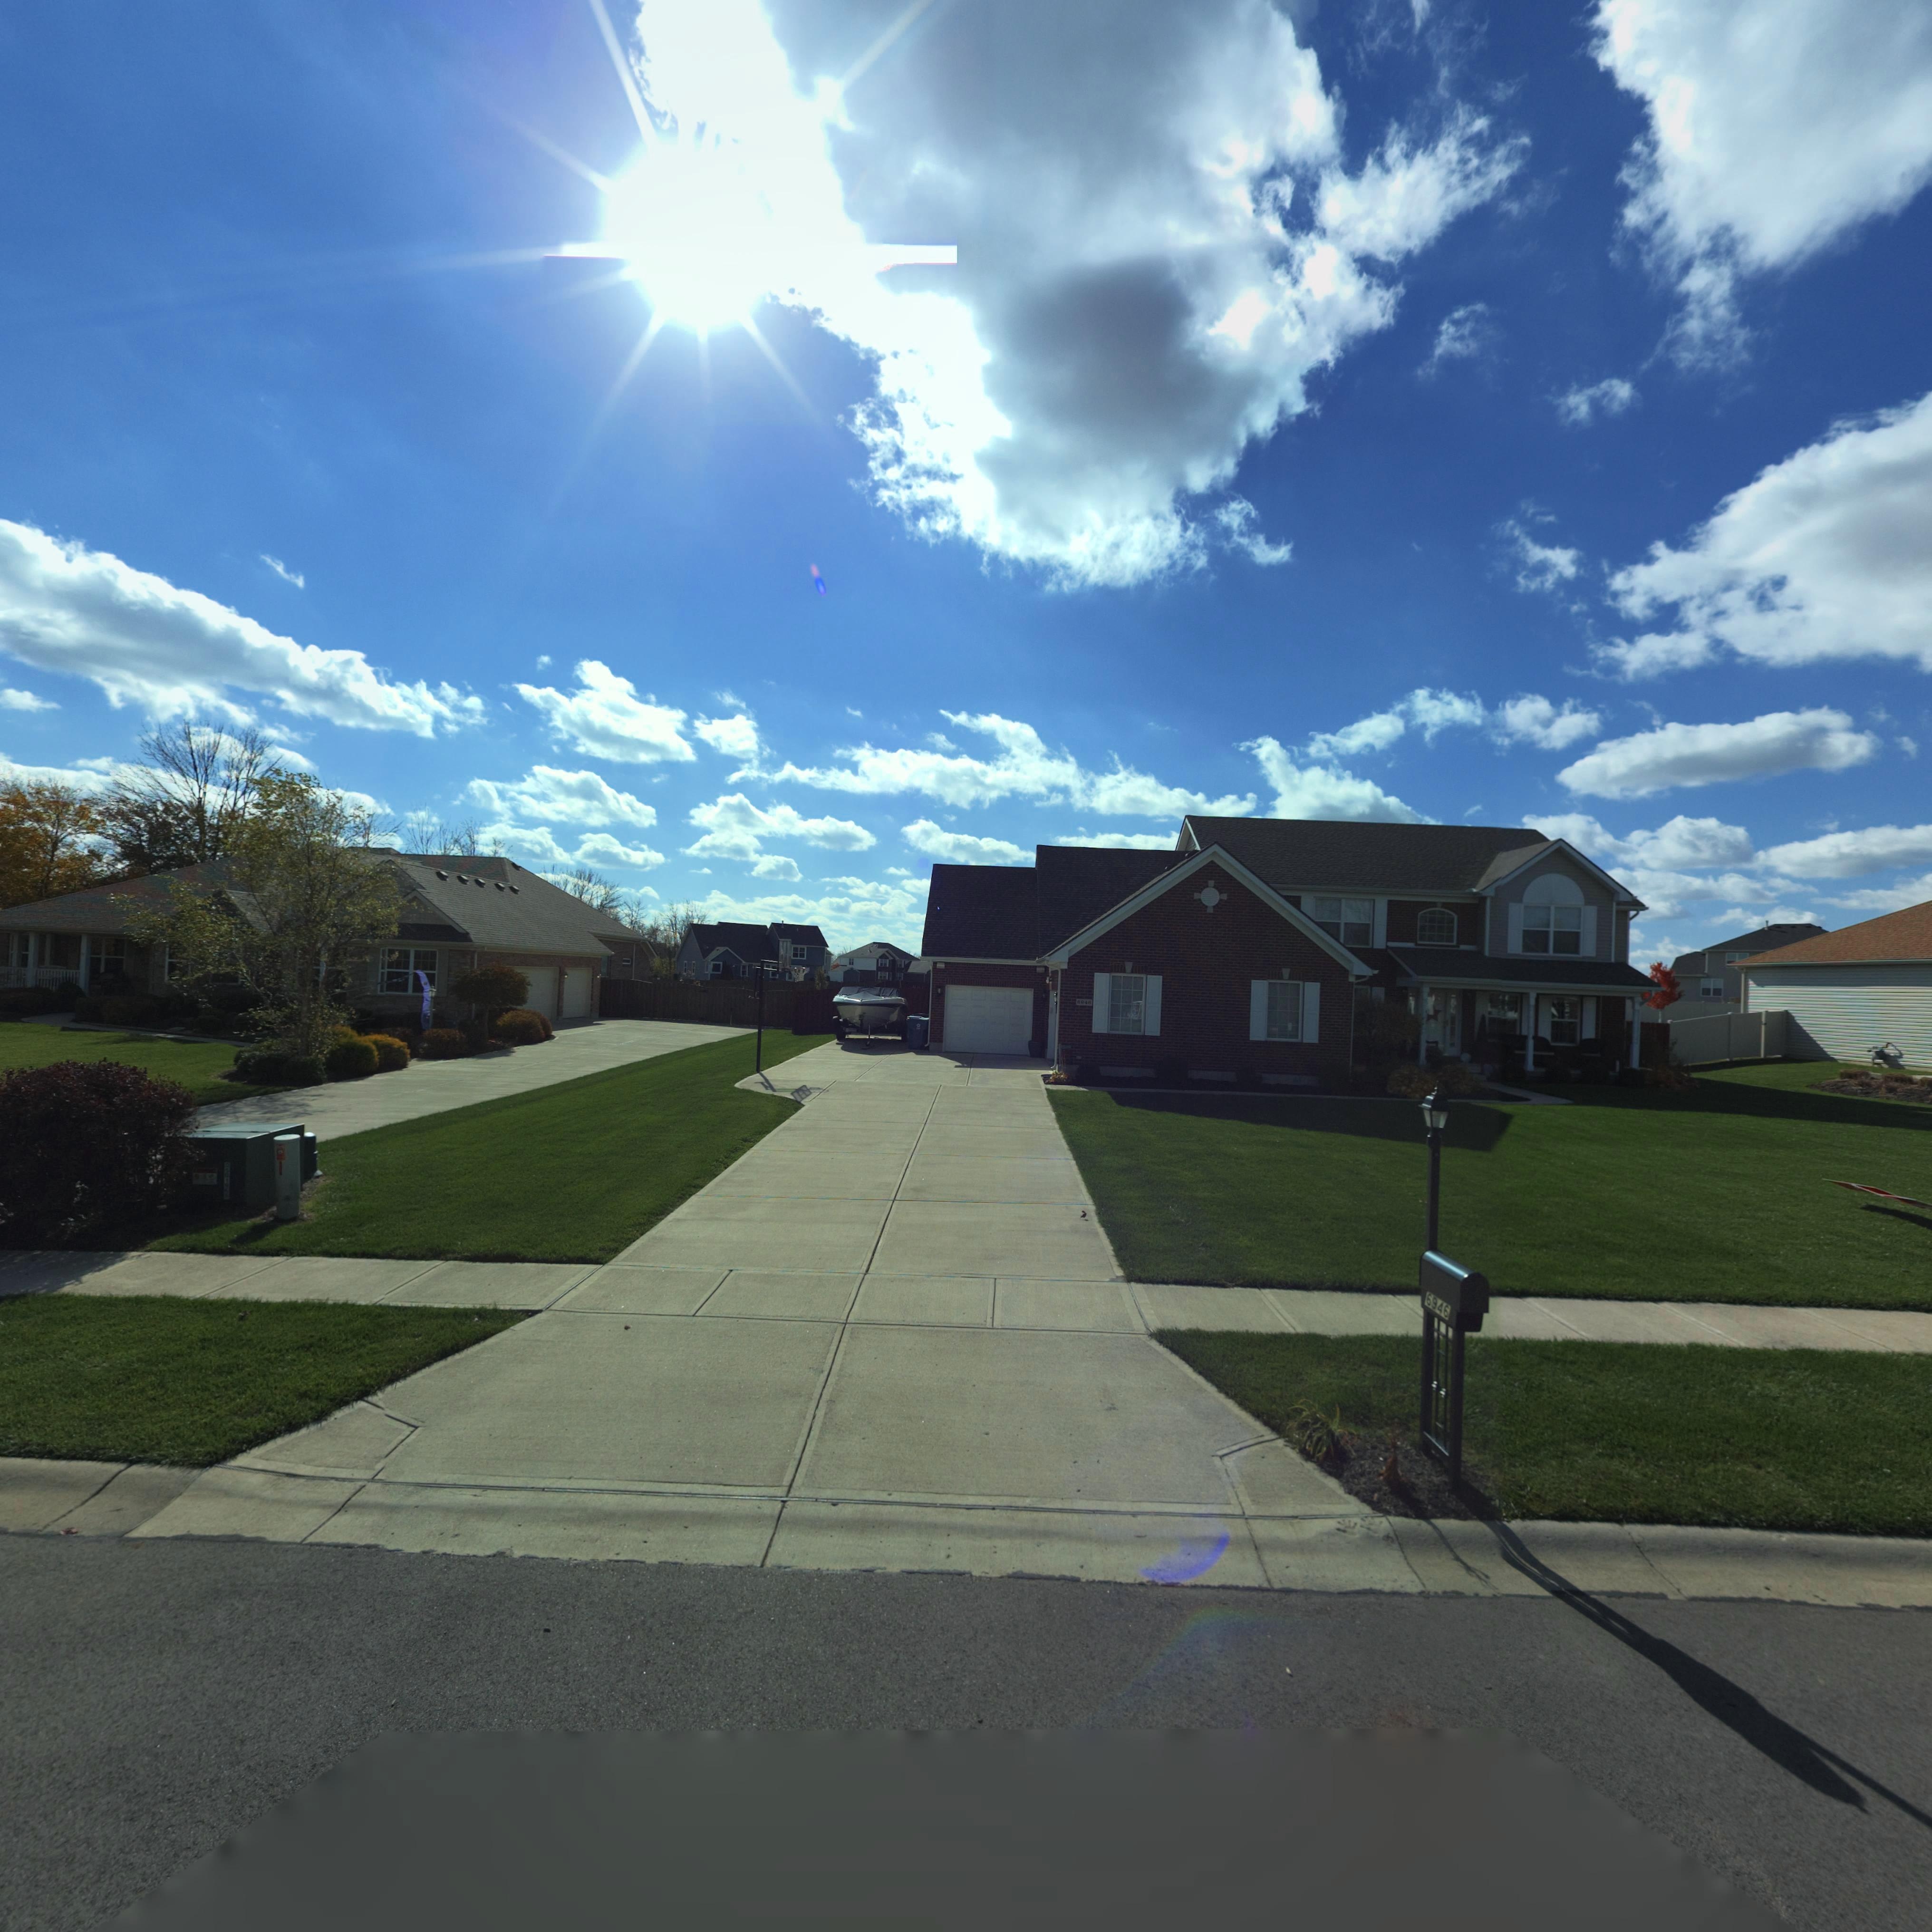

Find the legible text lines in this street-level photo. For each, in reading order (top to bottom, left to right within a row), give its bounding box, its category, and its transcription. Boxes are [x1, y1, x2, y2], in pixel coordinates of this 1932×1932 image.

[1077, 999, 1092, 1005] StreetNumber: 6946
[1426, 1292, 1451, 1319] StreetNumber: 6946